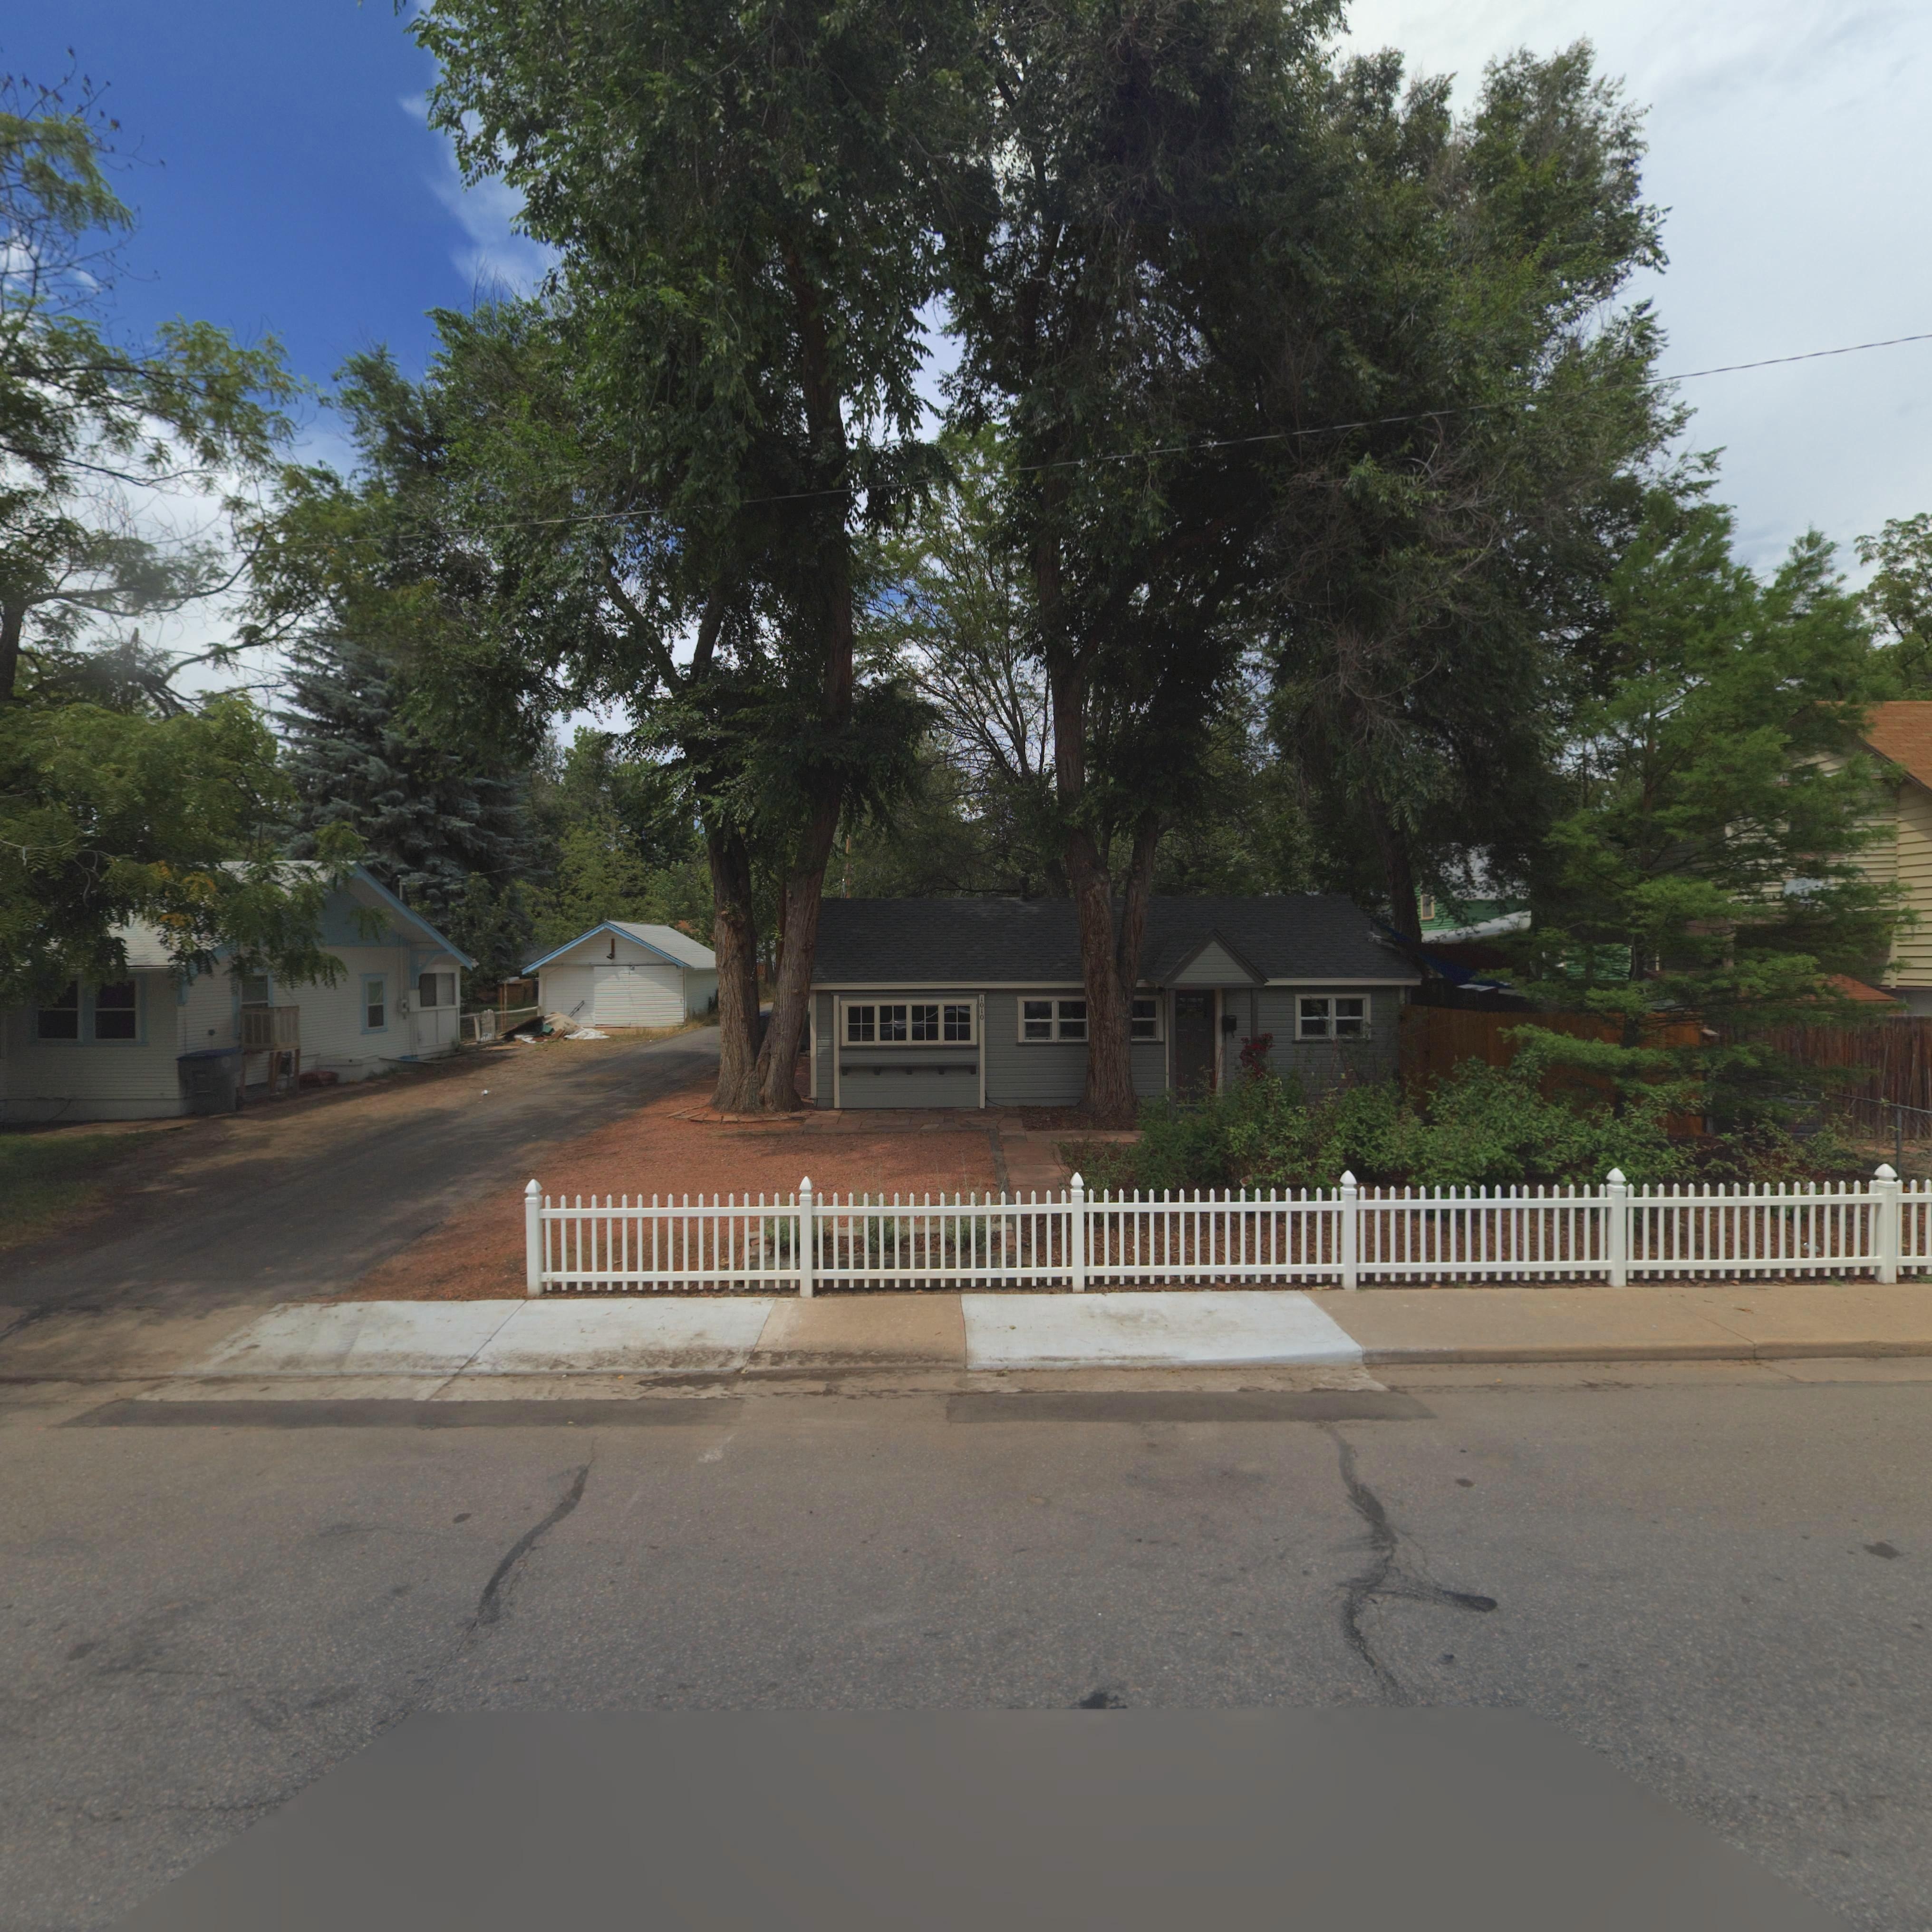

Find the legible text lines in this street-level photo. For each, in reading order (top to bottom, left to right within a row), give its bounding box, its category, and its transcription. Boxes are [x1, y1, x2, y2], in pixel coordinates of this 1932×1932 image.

[980, 995, 984, 1020] StreetNumber: 1010